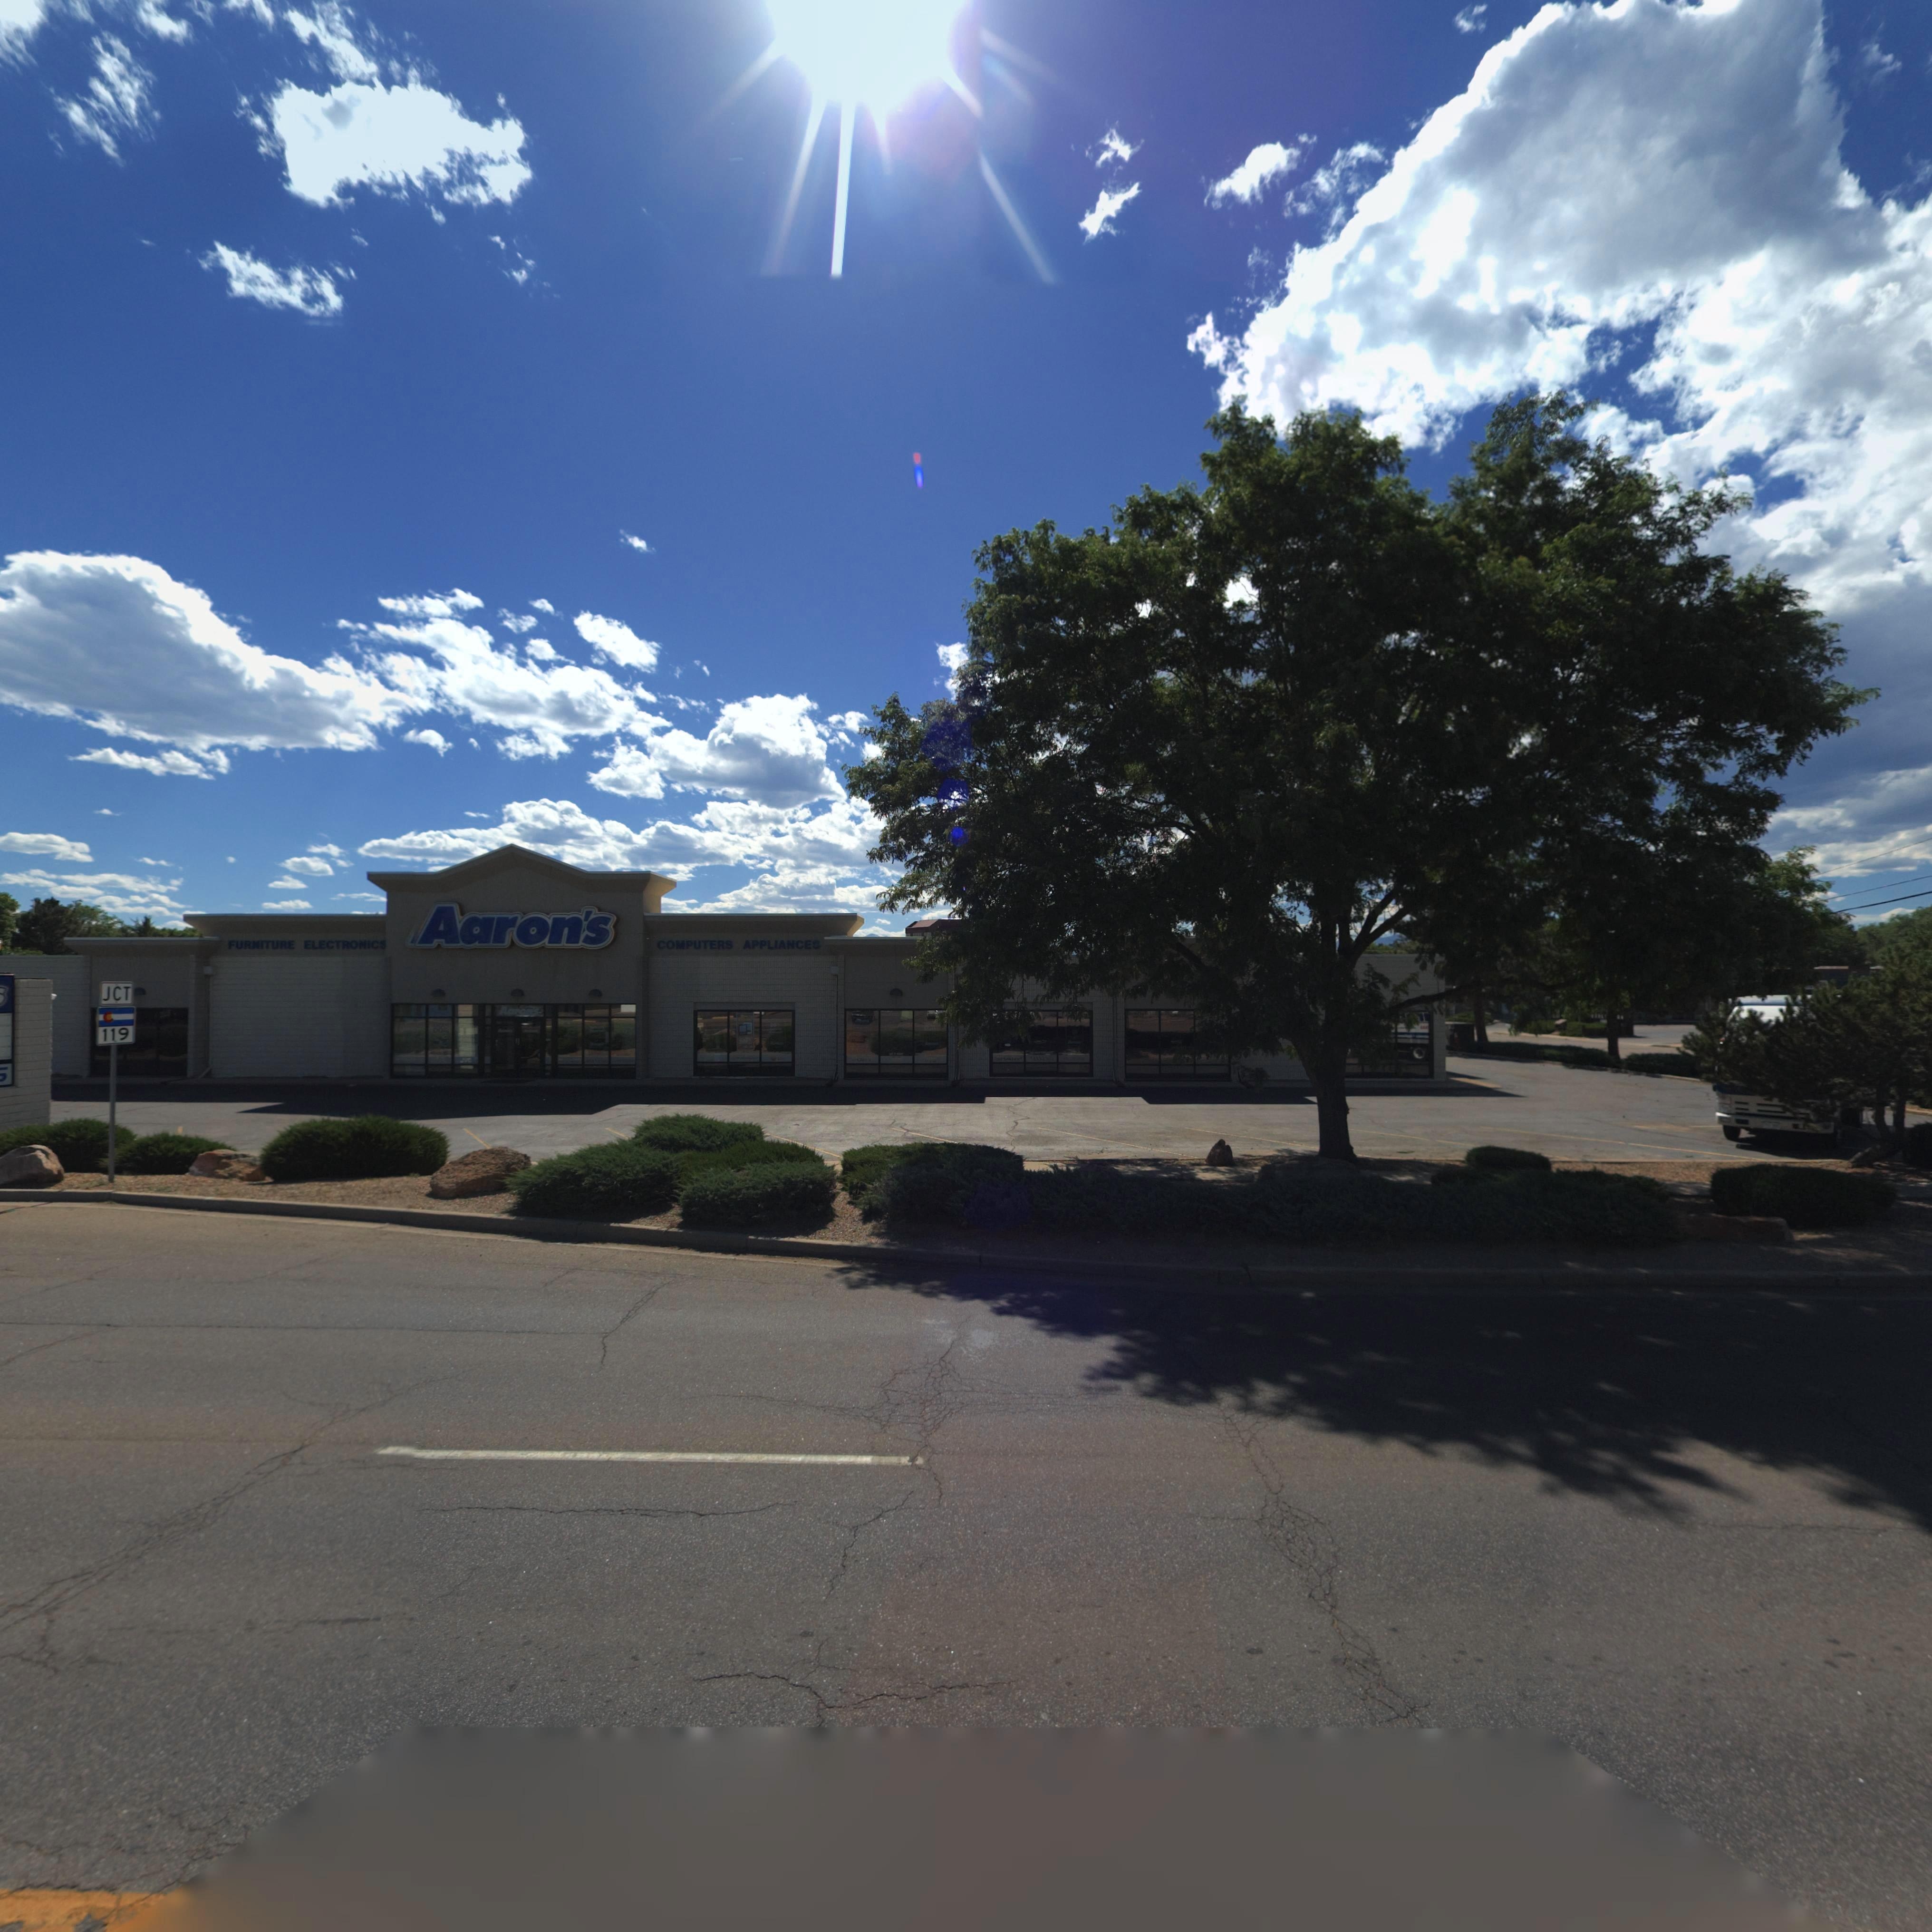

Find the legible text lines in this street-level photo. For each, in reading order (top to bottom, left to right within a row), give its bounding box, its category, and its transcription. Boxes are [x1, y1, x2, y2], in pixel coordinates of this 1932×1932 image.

[415, 904, 612, 946] BusinessName: Aaron's
[498, 1005, 540, 1016] BusinessName: Aaron's